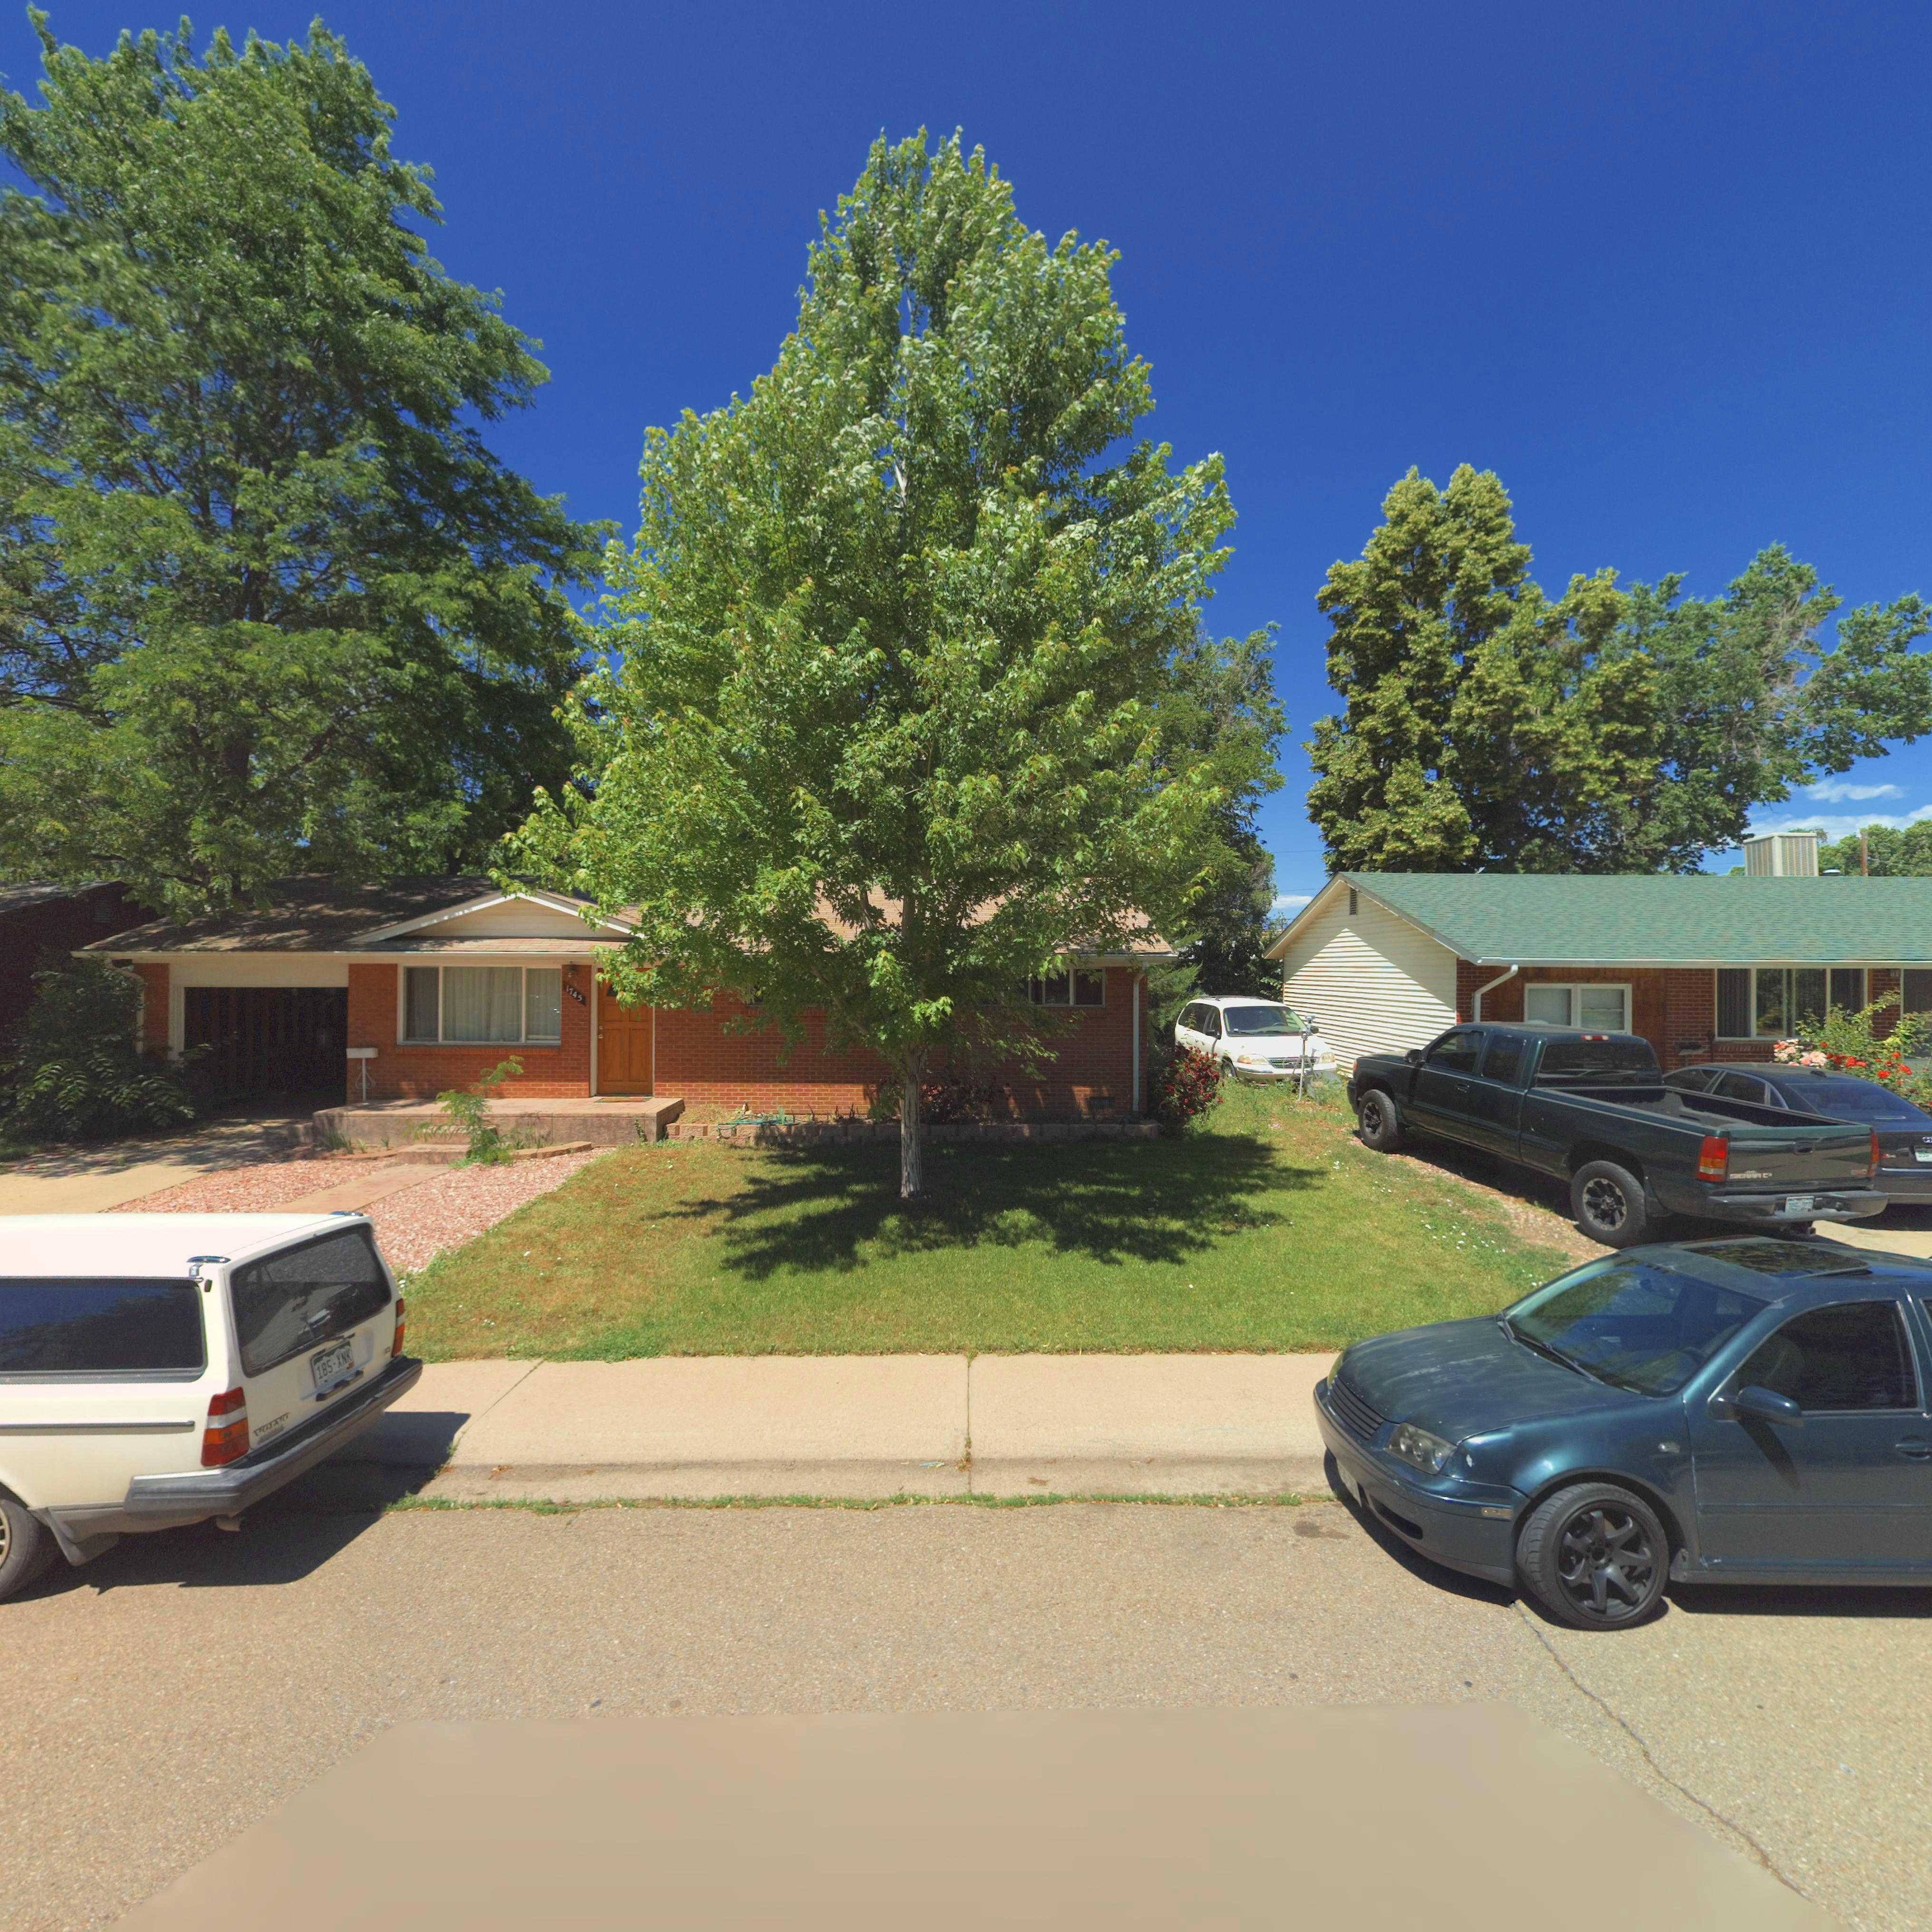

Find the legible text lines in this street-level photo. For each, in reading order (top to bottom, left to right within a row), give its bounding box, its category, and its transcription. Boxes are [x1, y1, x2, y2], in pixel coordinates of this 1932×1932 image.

[566, 984, 582, 1001] StreetNumber: 1745